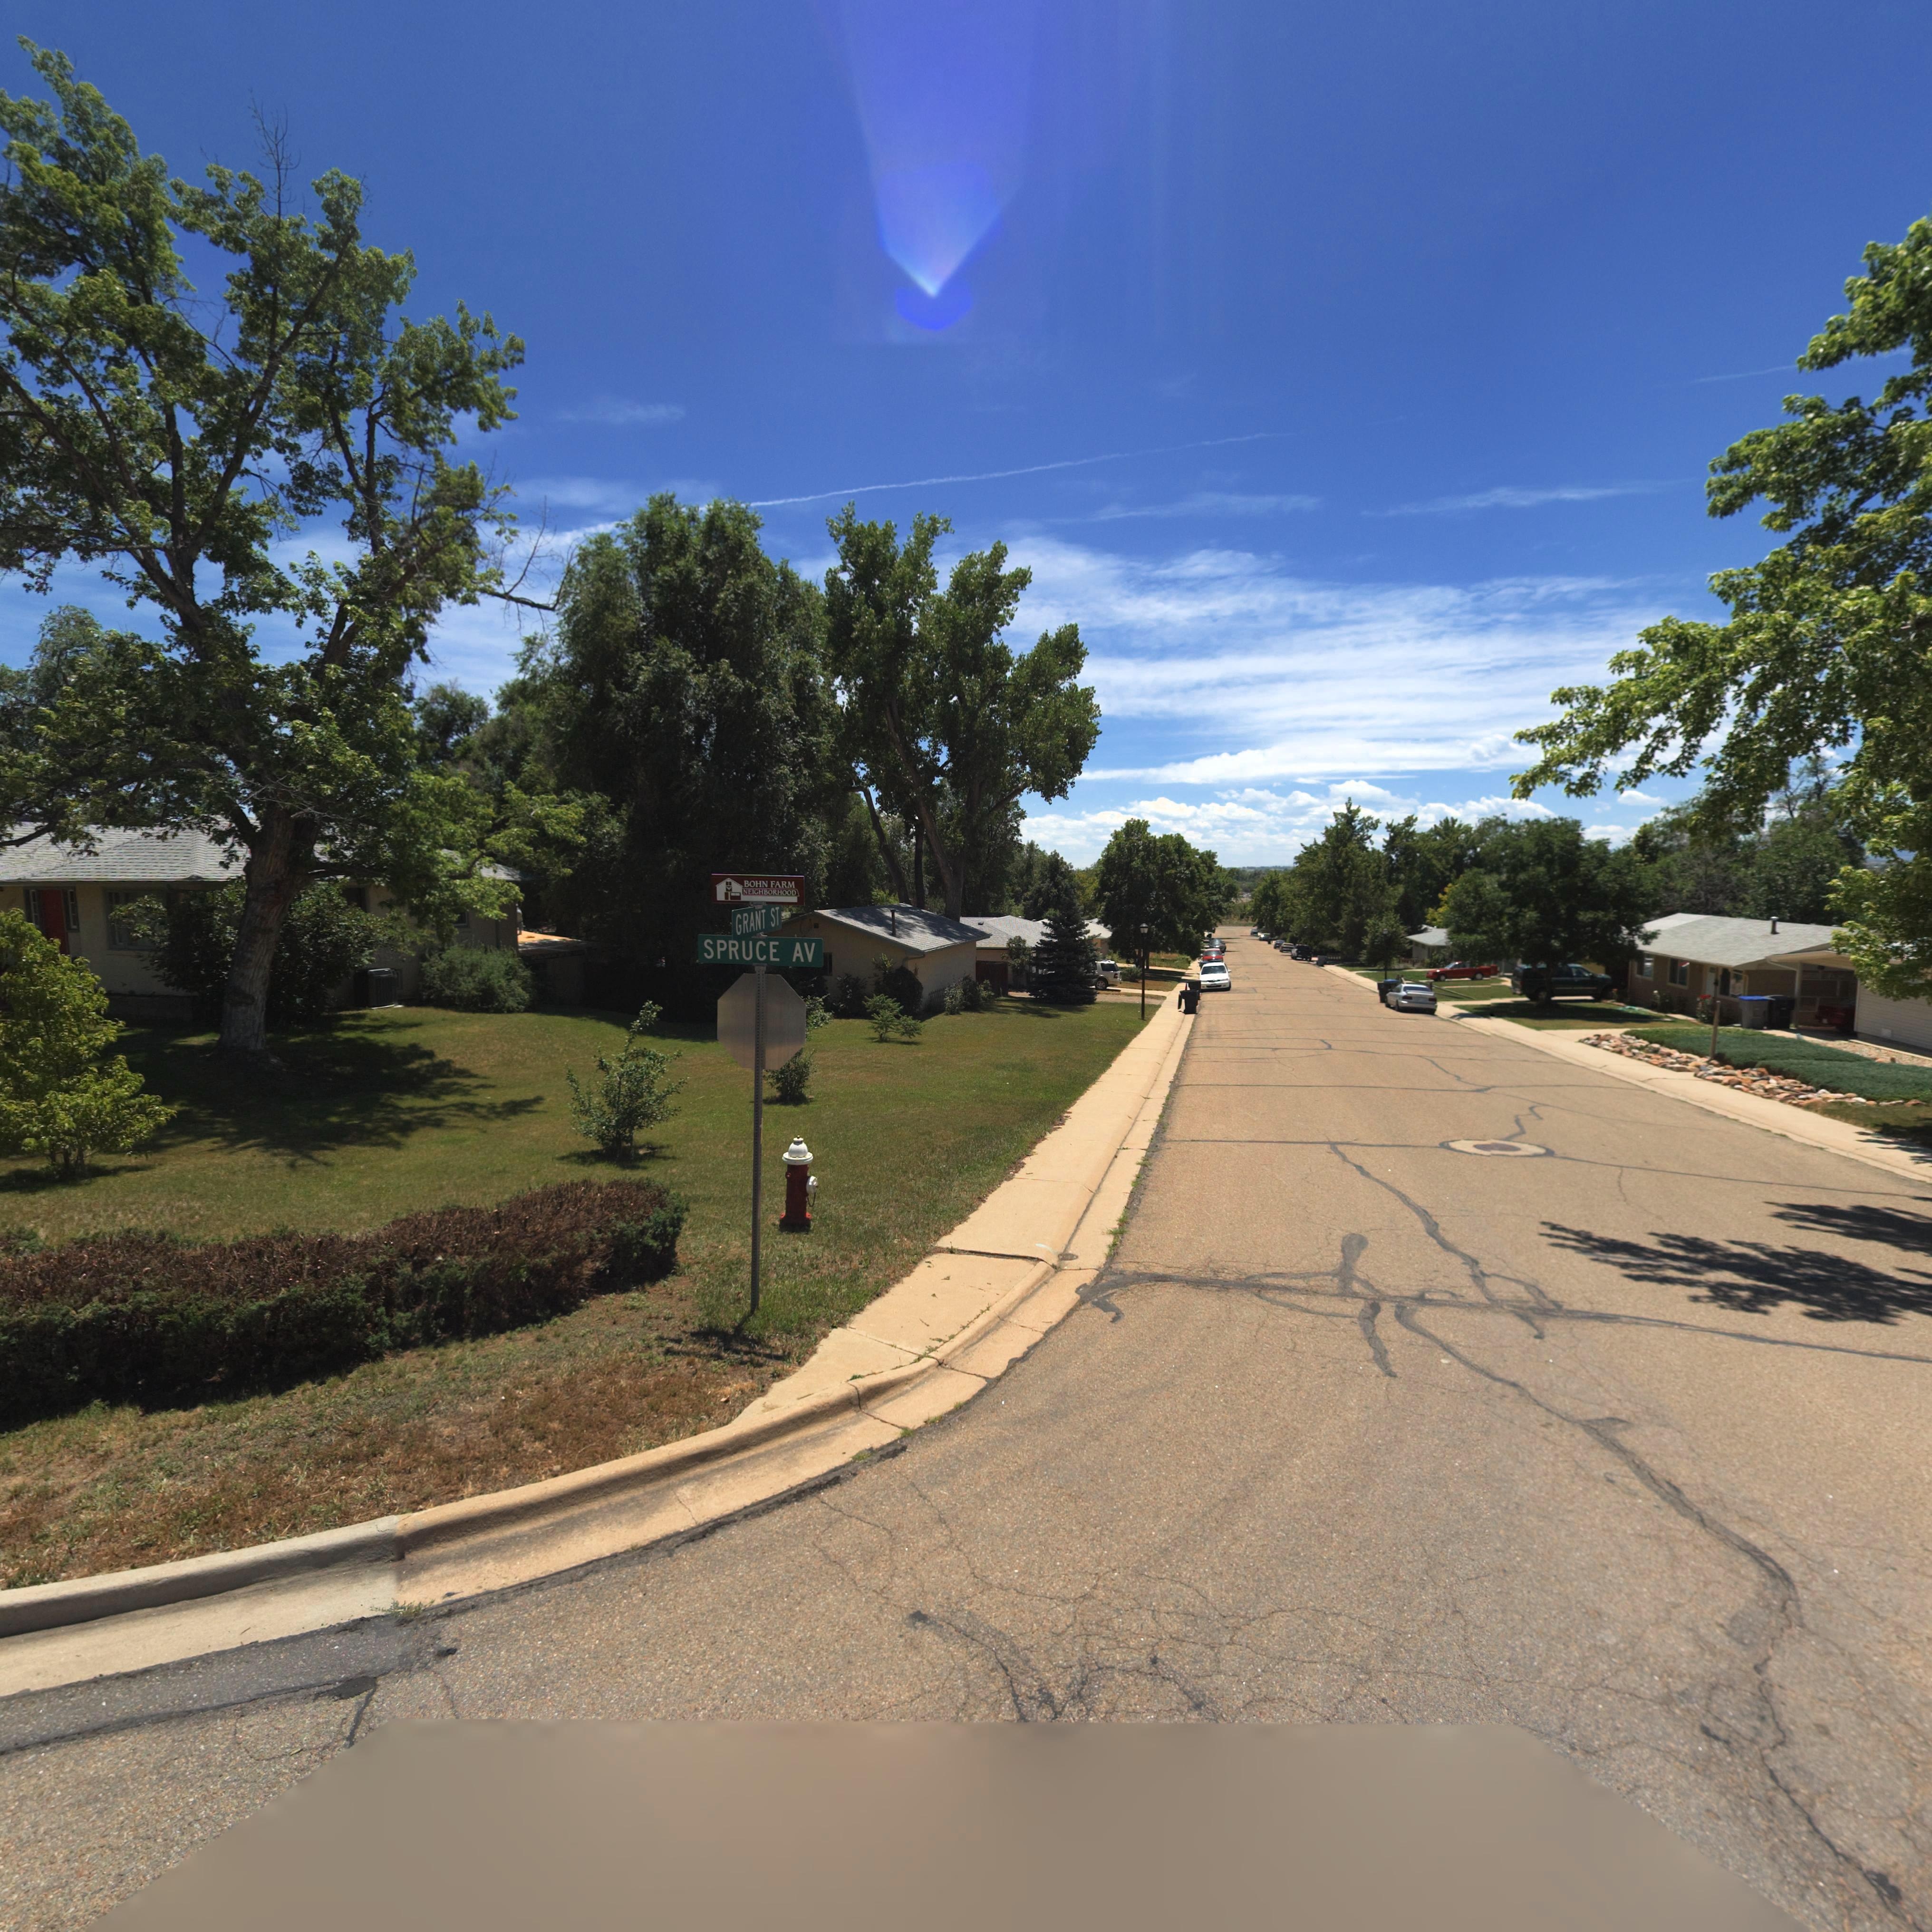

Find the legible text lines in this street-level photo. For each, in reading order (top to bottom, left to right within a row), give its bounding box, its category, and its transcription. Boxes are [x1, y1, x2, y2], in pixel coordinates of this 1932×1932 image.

[735, 906, 779, 935] StreetName: GRANT ST
[703, 938, 815, 963] StreetName: SPRUCE AV